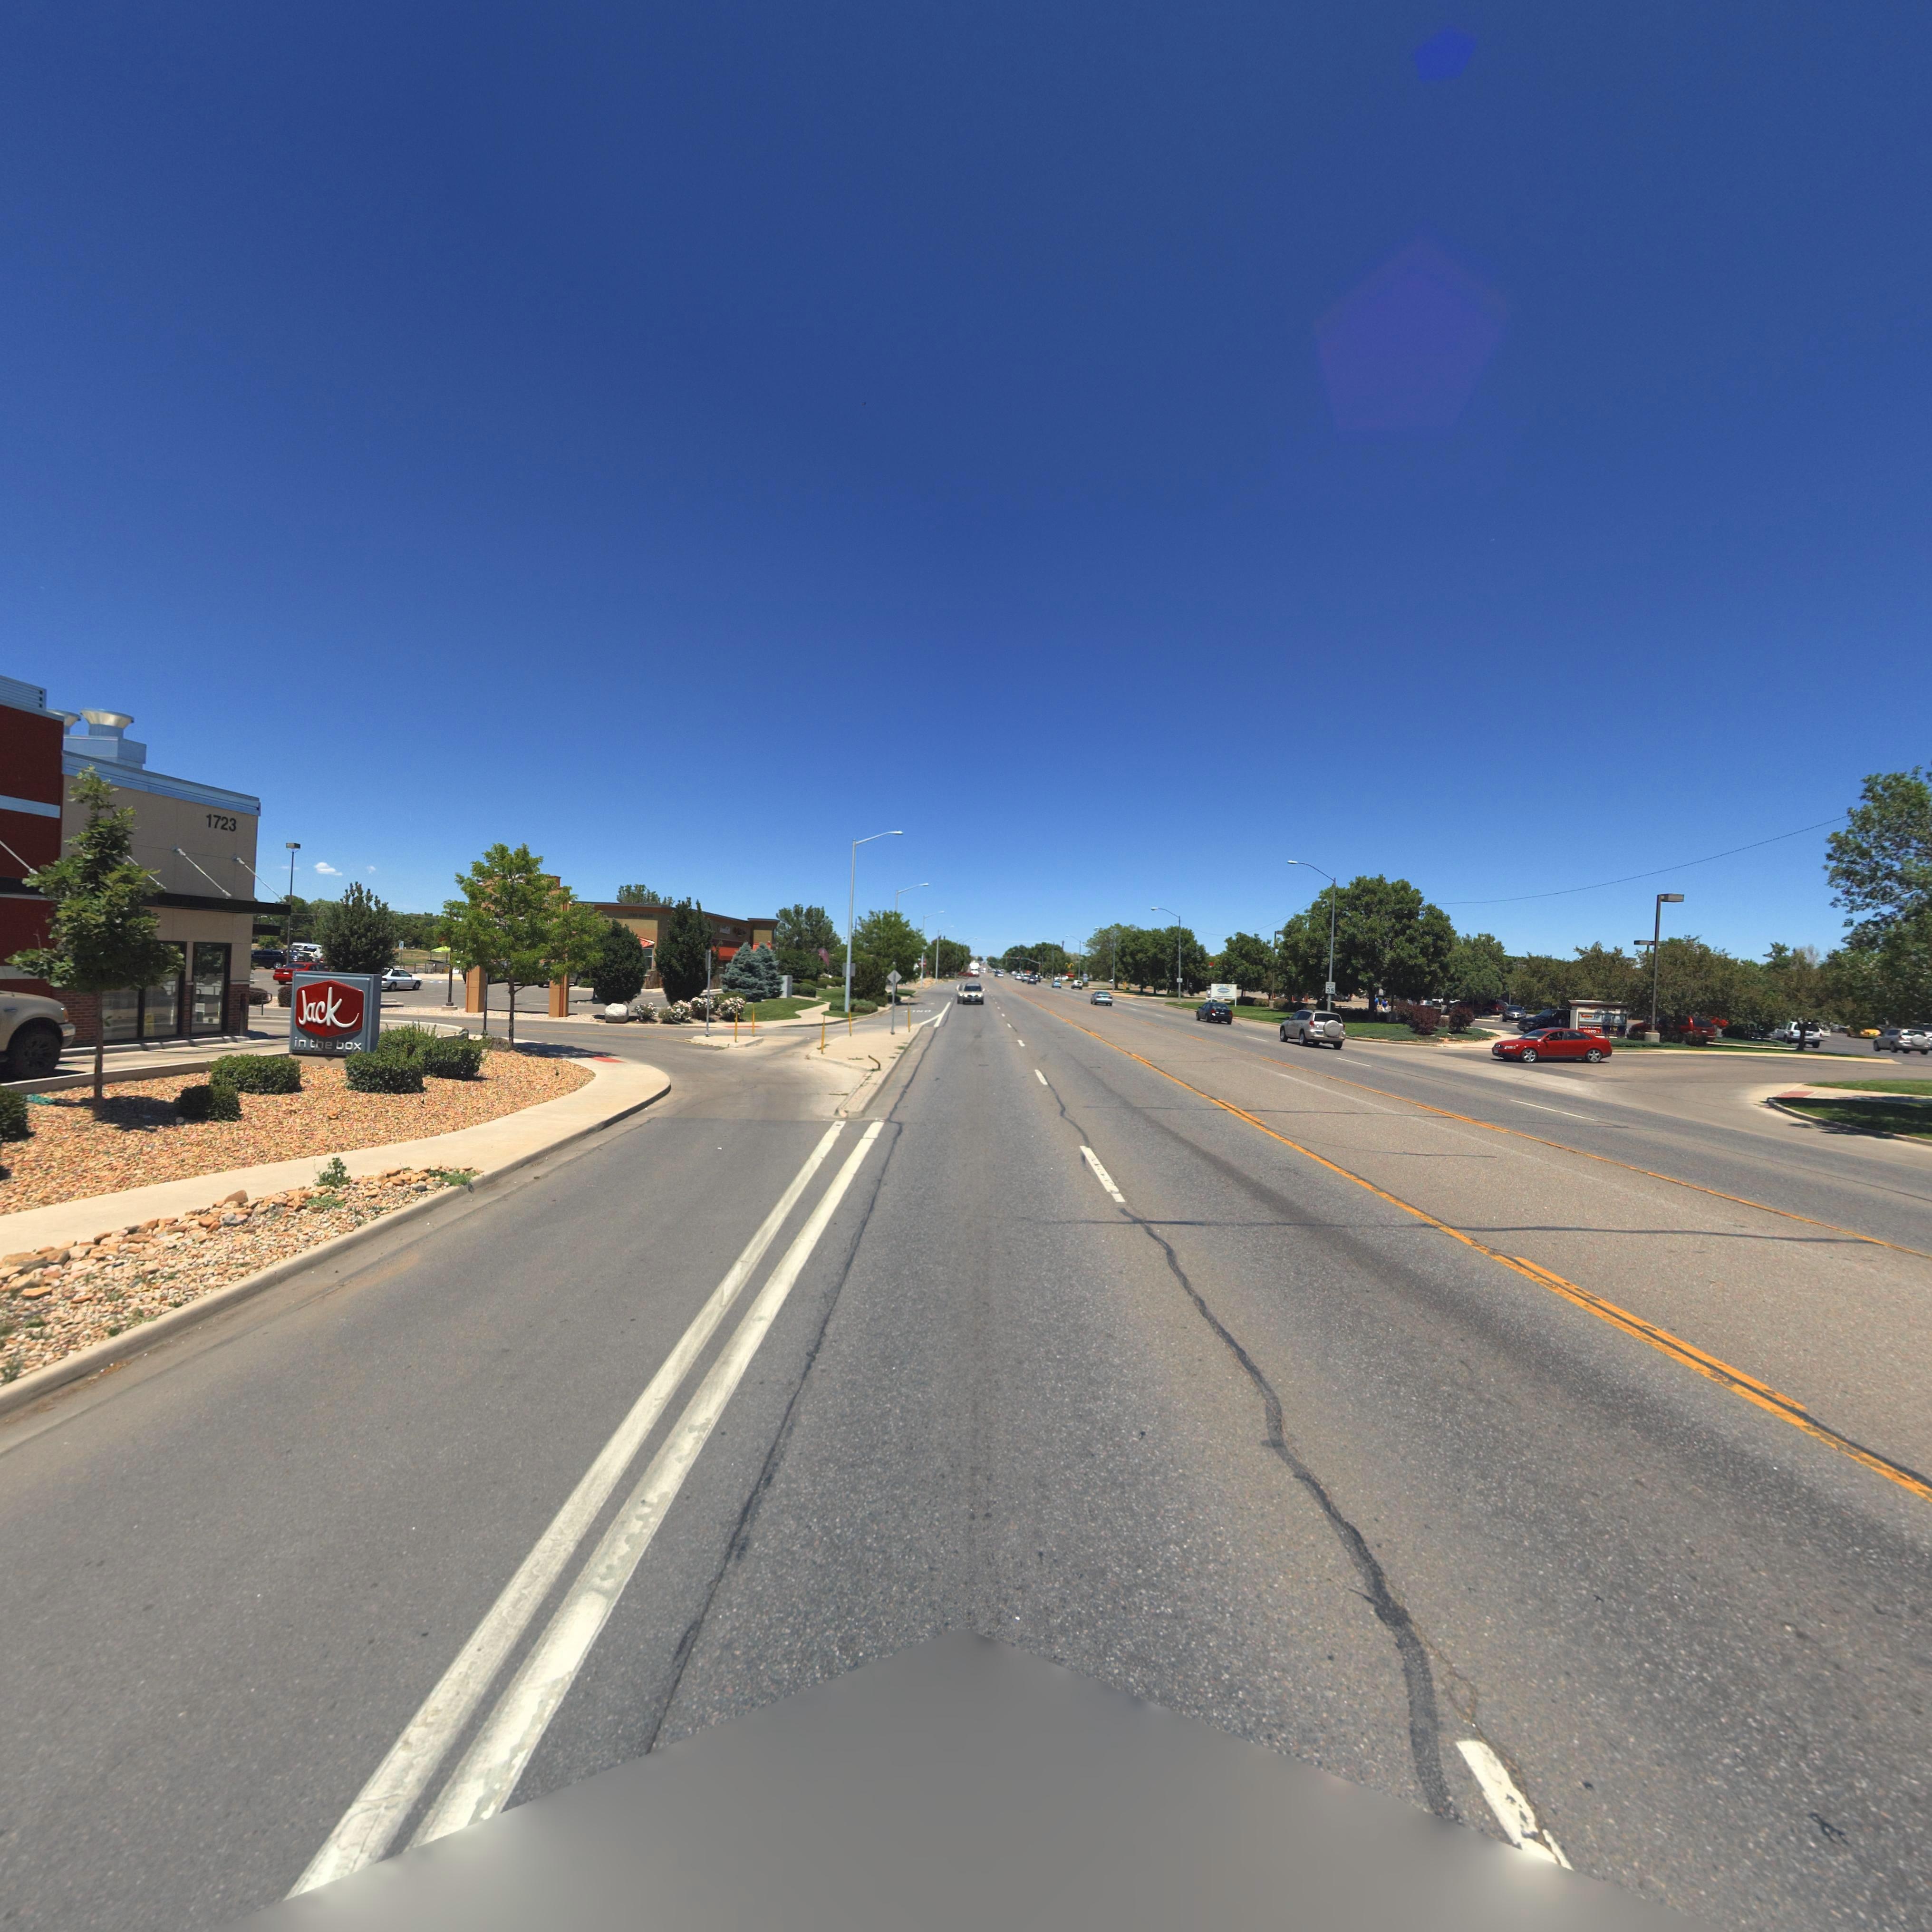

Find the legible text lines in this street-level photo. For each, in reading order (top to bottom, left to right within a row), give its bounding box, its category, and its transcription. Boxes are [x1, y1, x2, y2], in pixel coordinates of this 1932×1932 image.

[206, 813, 236, 832] StreetNumber: 1723
[628, 912, 637, 918] StreetNumber: ***5
[638, 913, 653, 918] StreetName: MAIN
[297, 985, 359, 1028] BusinessName: Jack
[1580, 1013, 1599, 1019] BusinessName: Sa** ***
[1583, 1029, 1597, 1033] BusinessName: VIDEO
[1609, 1027, 1619, 1031] BusinessName: *SO
[293, 1036, 361, 1051] BusinessName: in the box